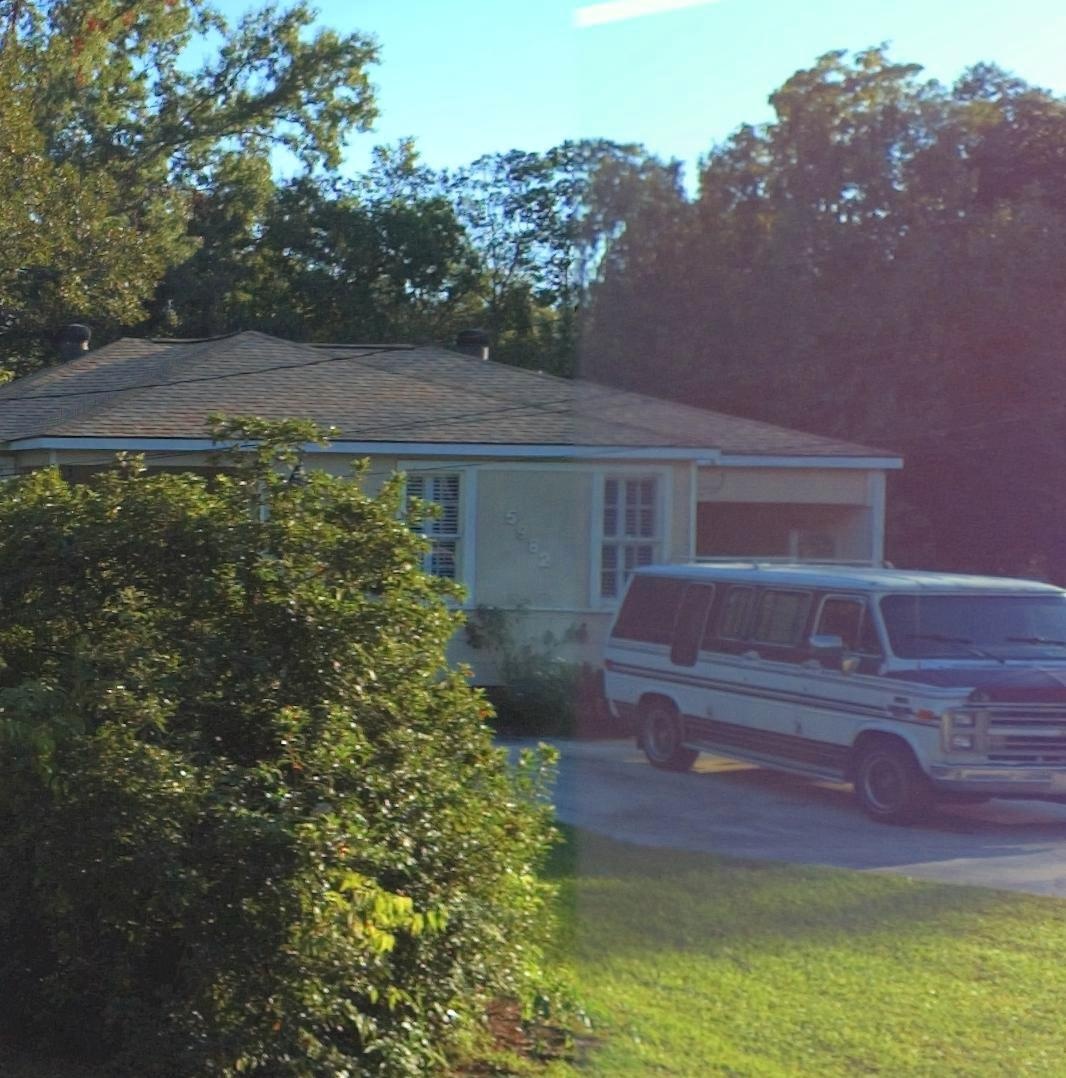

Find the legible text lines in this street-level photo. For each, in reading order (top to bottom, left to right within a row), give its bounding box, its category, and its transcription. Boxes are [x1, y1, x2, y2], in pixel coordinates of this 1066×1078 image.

[504, 507, 552, 570] StreetNumber: 5982